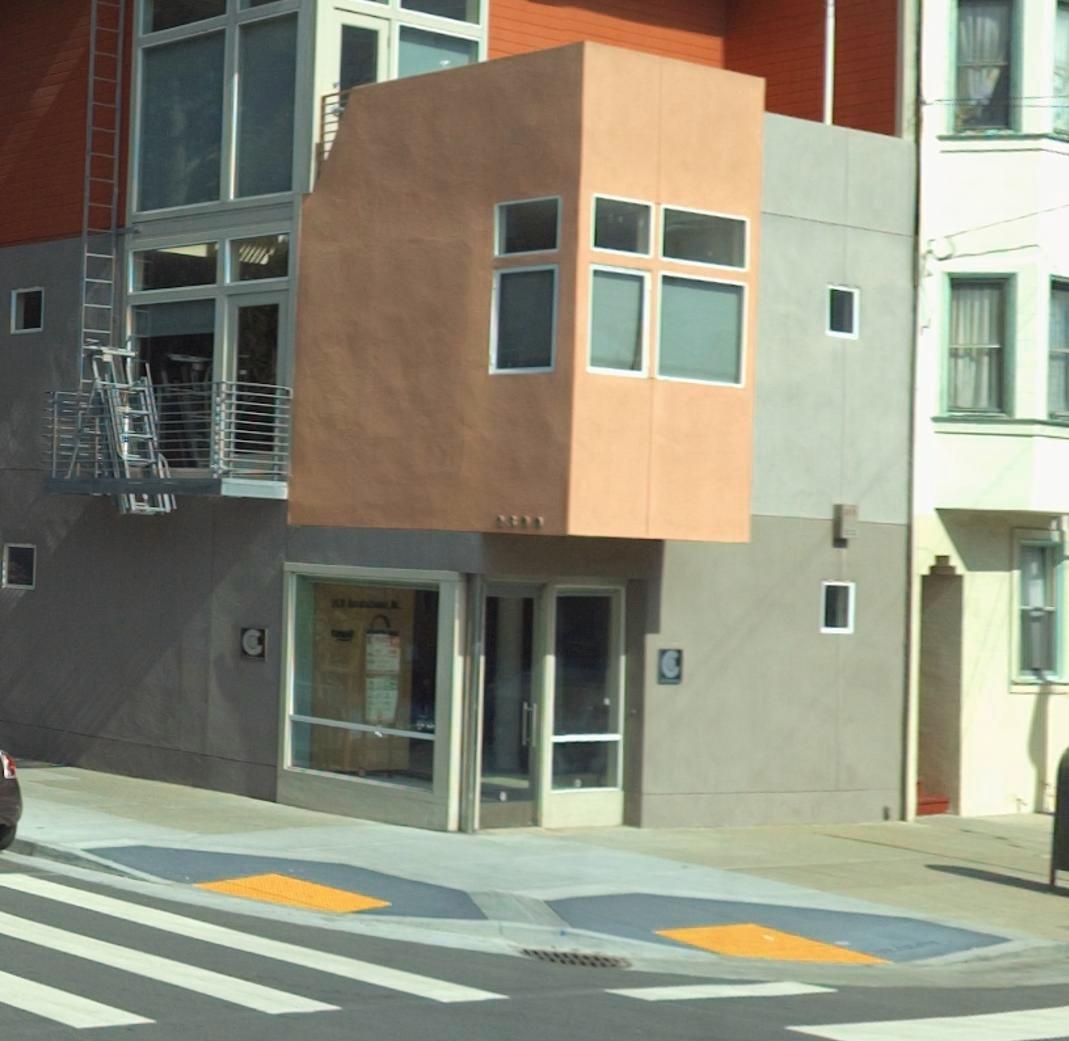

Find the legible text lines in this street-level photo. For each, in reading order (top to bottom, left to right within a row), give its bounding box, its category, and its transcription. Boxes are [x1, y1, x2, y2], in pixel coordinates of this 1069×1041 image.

[494, 514, 546, 532] StreetNumber: 2800